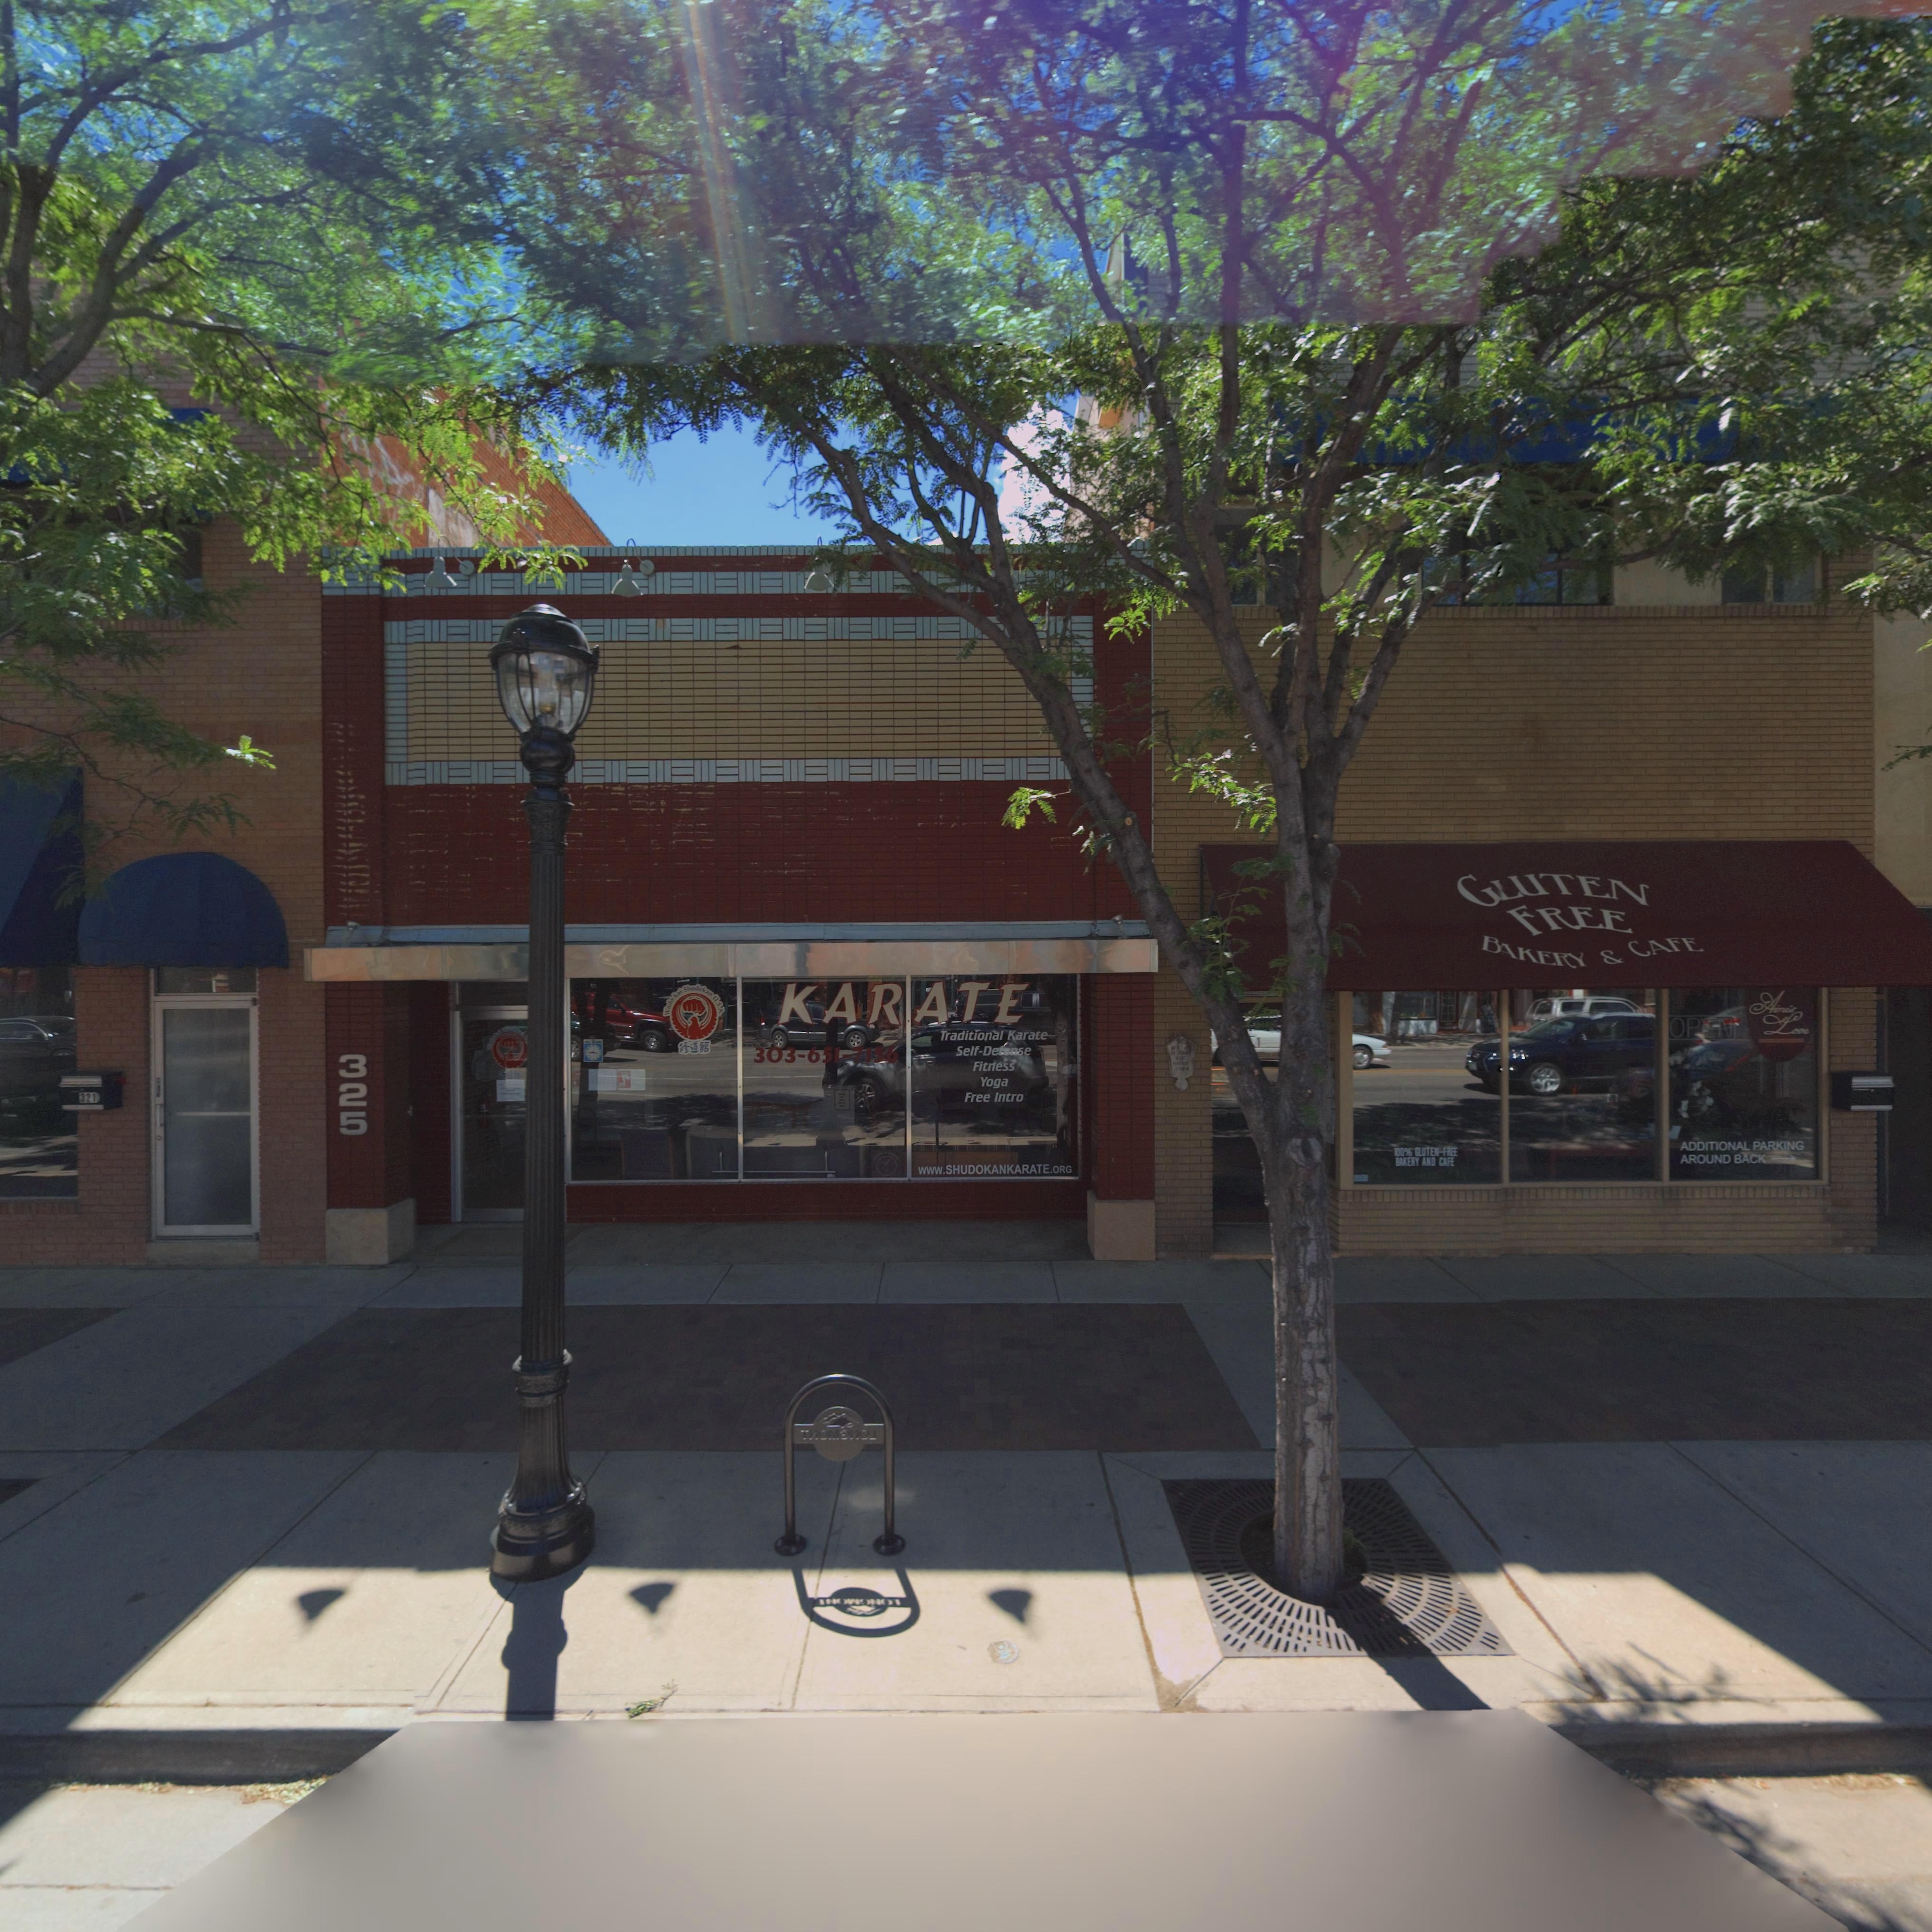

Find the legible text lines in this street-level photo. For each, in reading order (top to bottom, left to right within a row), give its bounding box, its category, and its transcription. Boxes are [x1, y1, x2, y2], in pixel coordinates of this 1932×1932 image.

[664, 984, 724, 1016] BusinessName: Wad*kai Shudokan USA
[775, 980, 1035, 1026] BusinessName: KARATE
[1748, 990, 1797, 1015] BusinessName: Aime's
[1762, 1011, 1809, 1035] BusinessName: Love
[79, 1092, 96, 1103] StreetNumber: 321
[337, 1053, 368, 1136] StreetNumber: 325